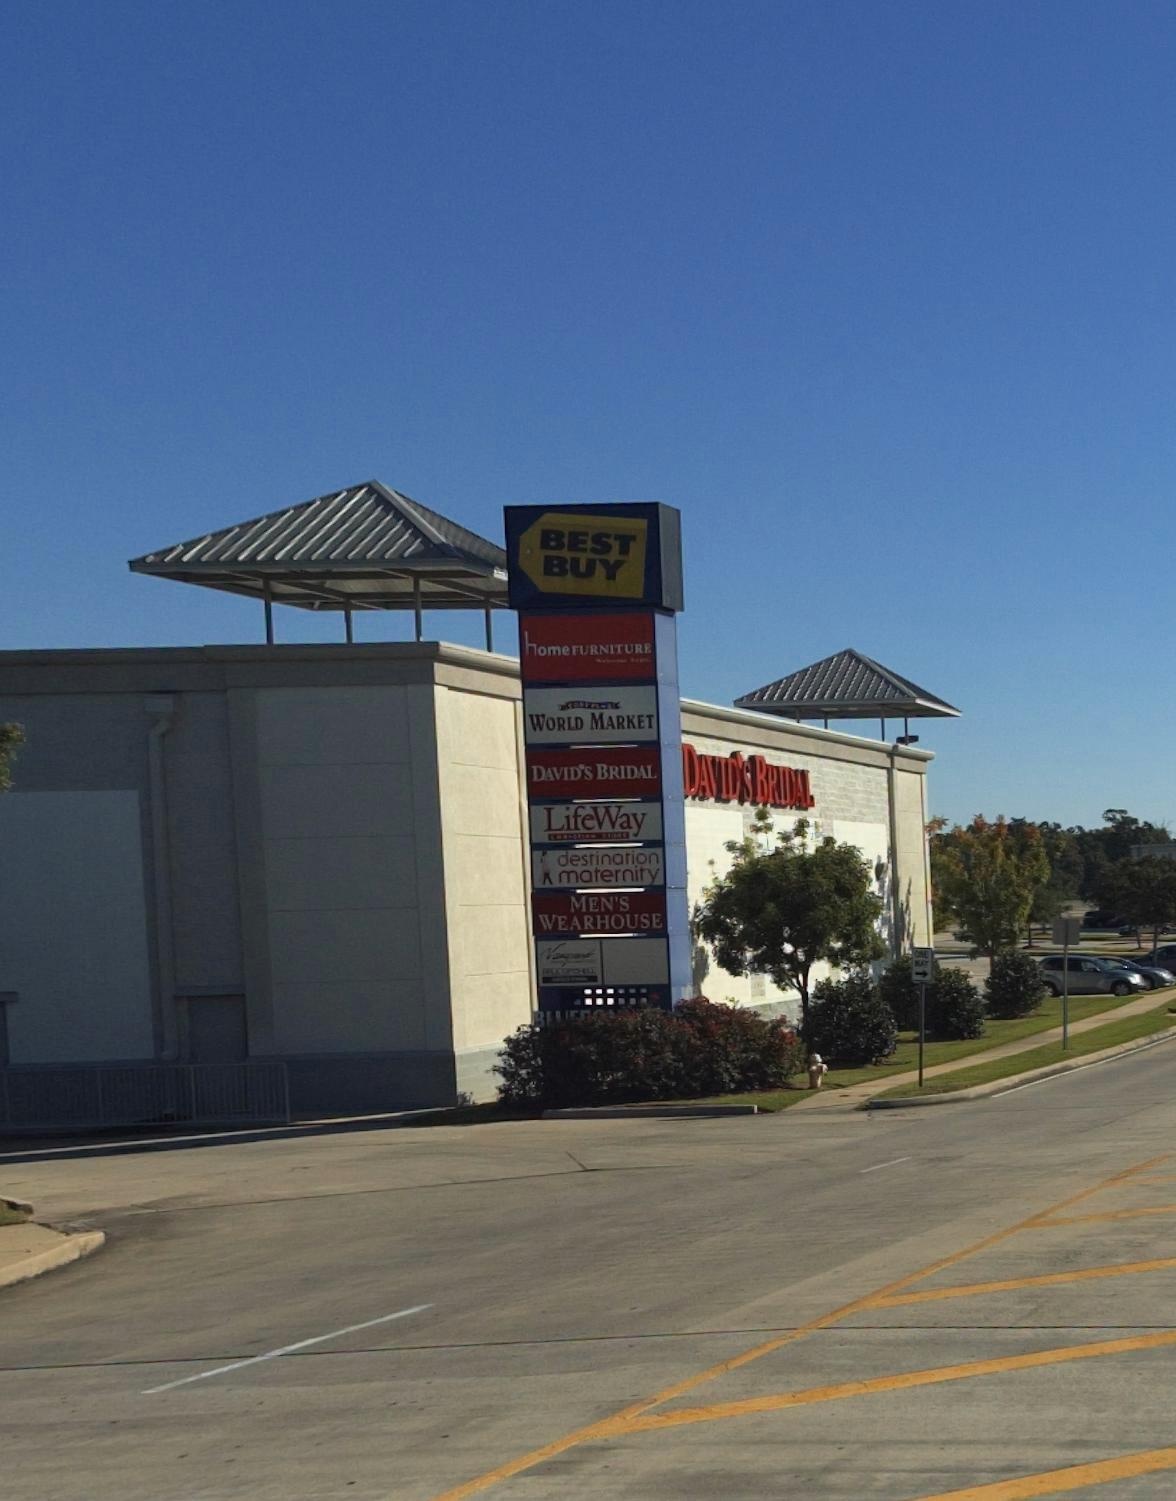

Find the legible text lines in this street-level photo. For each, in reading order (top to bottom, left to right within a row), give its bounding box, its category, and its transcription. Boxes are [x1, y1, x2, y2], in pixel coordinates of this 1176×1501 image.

[537, 526, 639, 558] BusinessName: BEST
[540, 552, 632, 583] BusinessName: BUY
[522, 629, 654, 659] BusinessName: home FURNITURE
[525, 710, 656, 734] BusinessName: WORLD MARKET
[529, 762, 660, 785] BusinessName: DAVID'S BRIDAL
[681, 740, 817, 809] BusinessName: DAVID'S BRIDAL
[540, 803, 650, 839] BusinessName: LifeWay
[555, 847, 661, 870] BusinessName: destination
[556, 866, 663, 887] BusinessName: maternity
[568, 893, 632, 916] BusinessName: MEN'S
[534, 910, 664, 933] BusinessName: WEARHOUSE